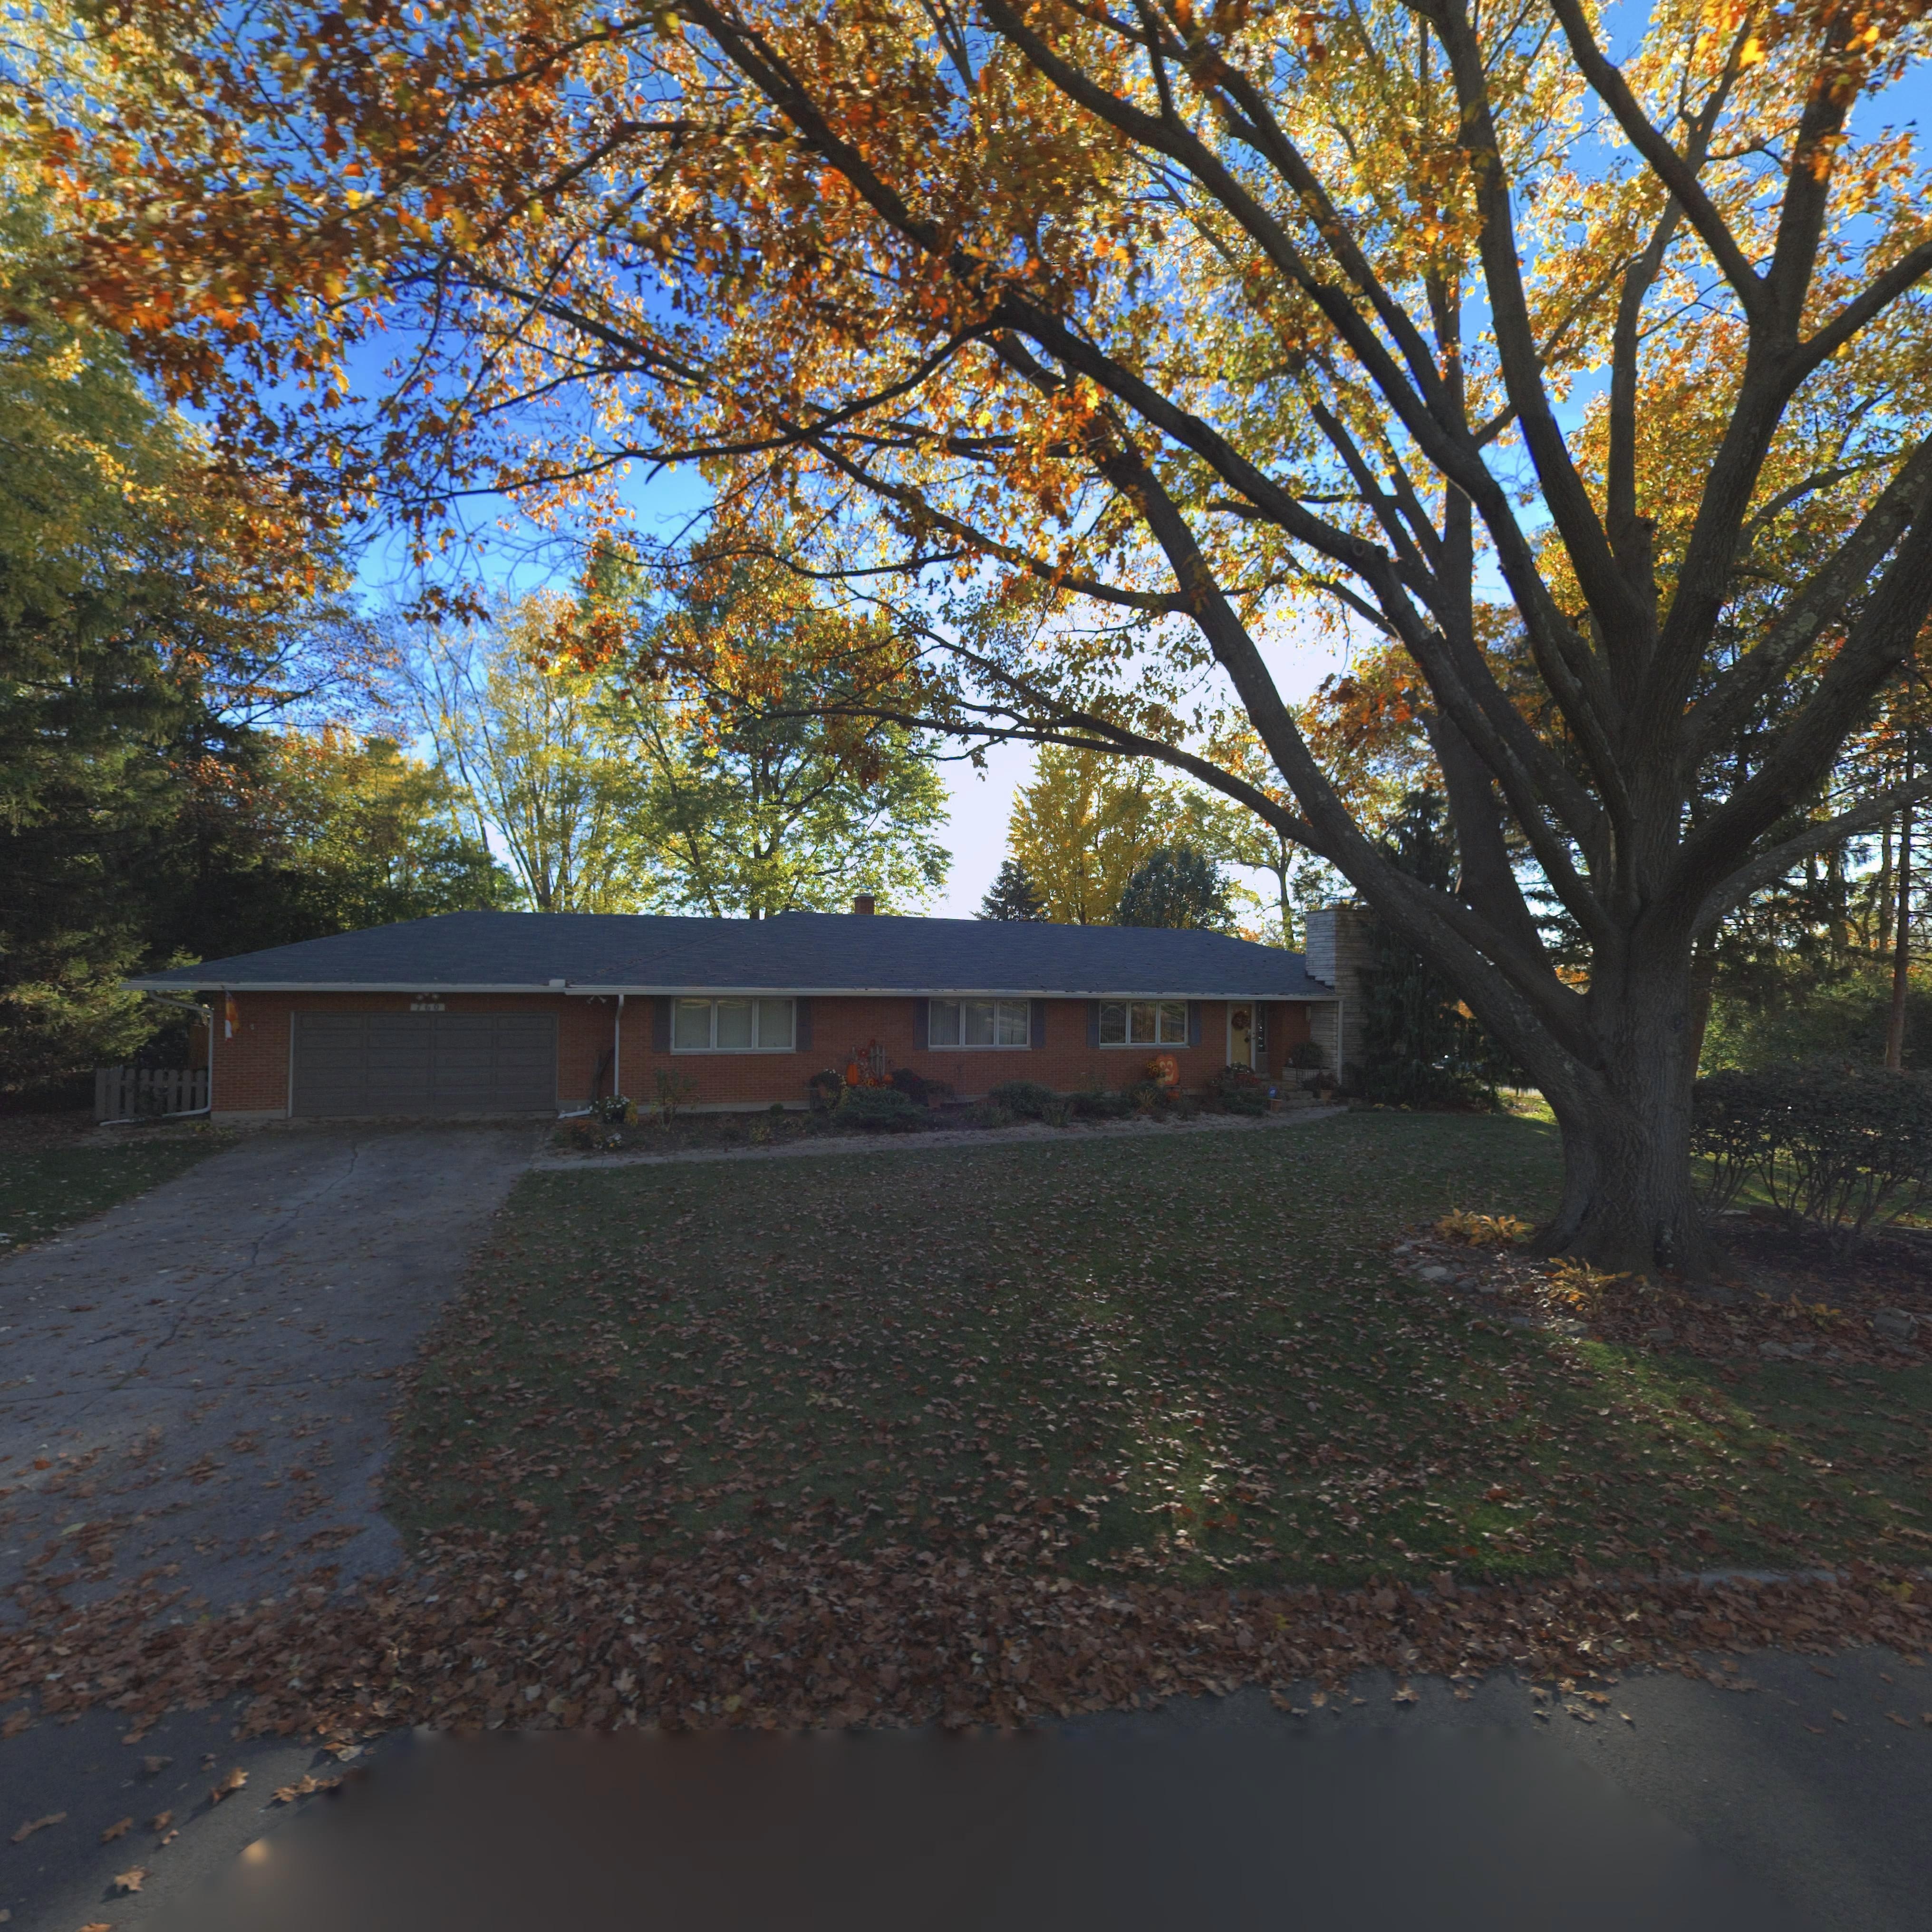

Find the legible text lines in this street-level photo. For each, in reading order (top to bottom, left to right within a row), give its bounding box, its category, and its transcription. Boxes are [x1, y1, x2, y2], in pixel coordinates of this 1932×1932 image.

[415, 1002, 440, 1012] StreetNumber: 760